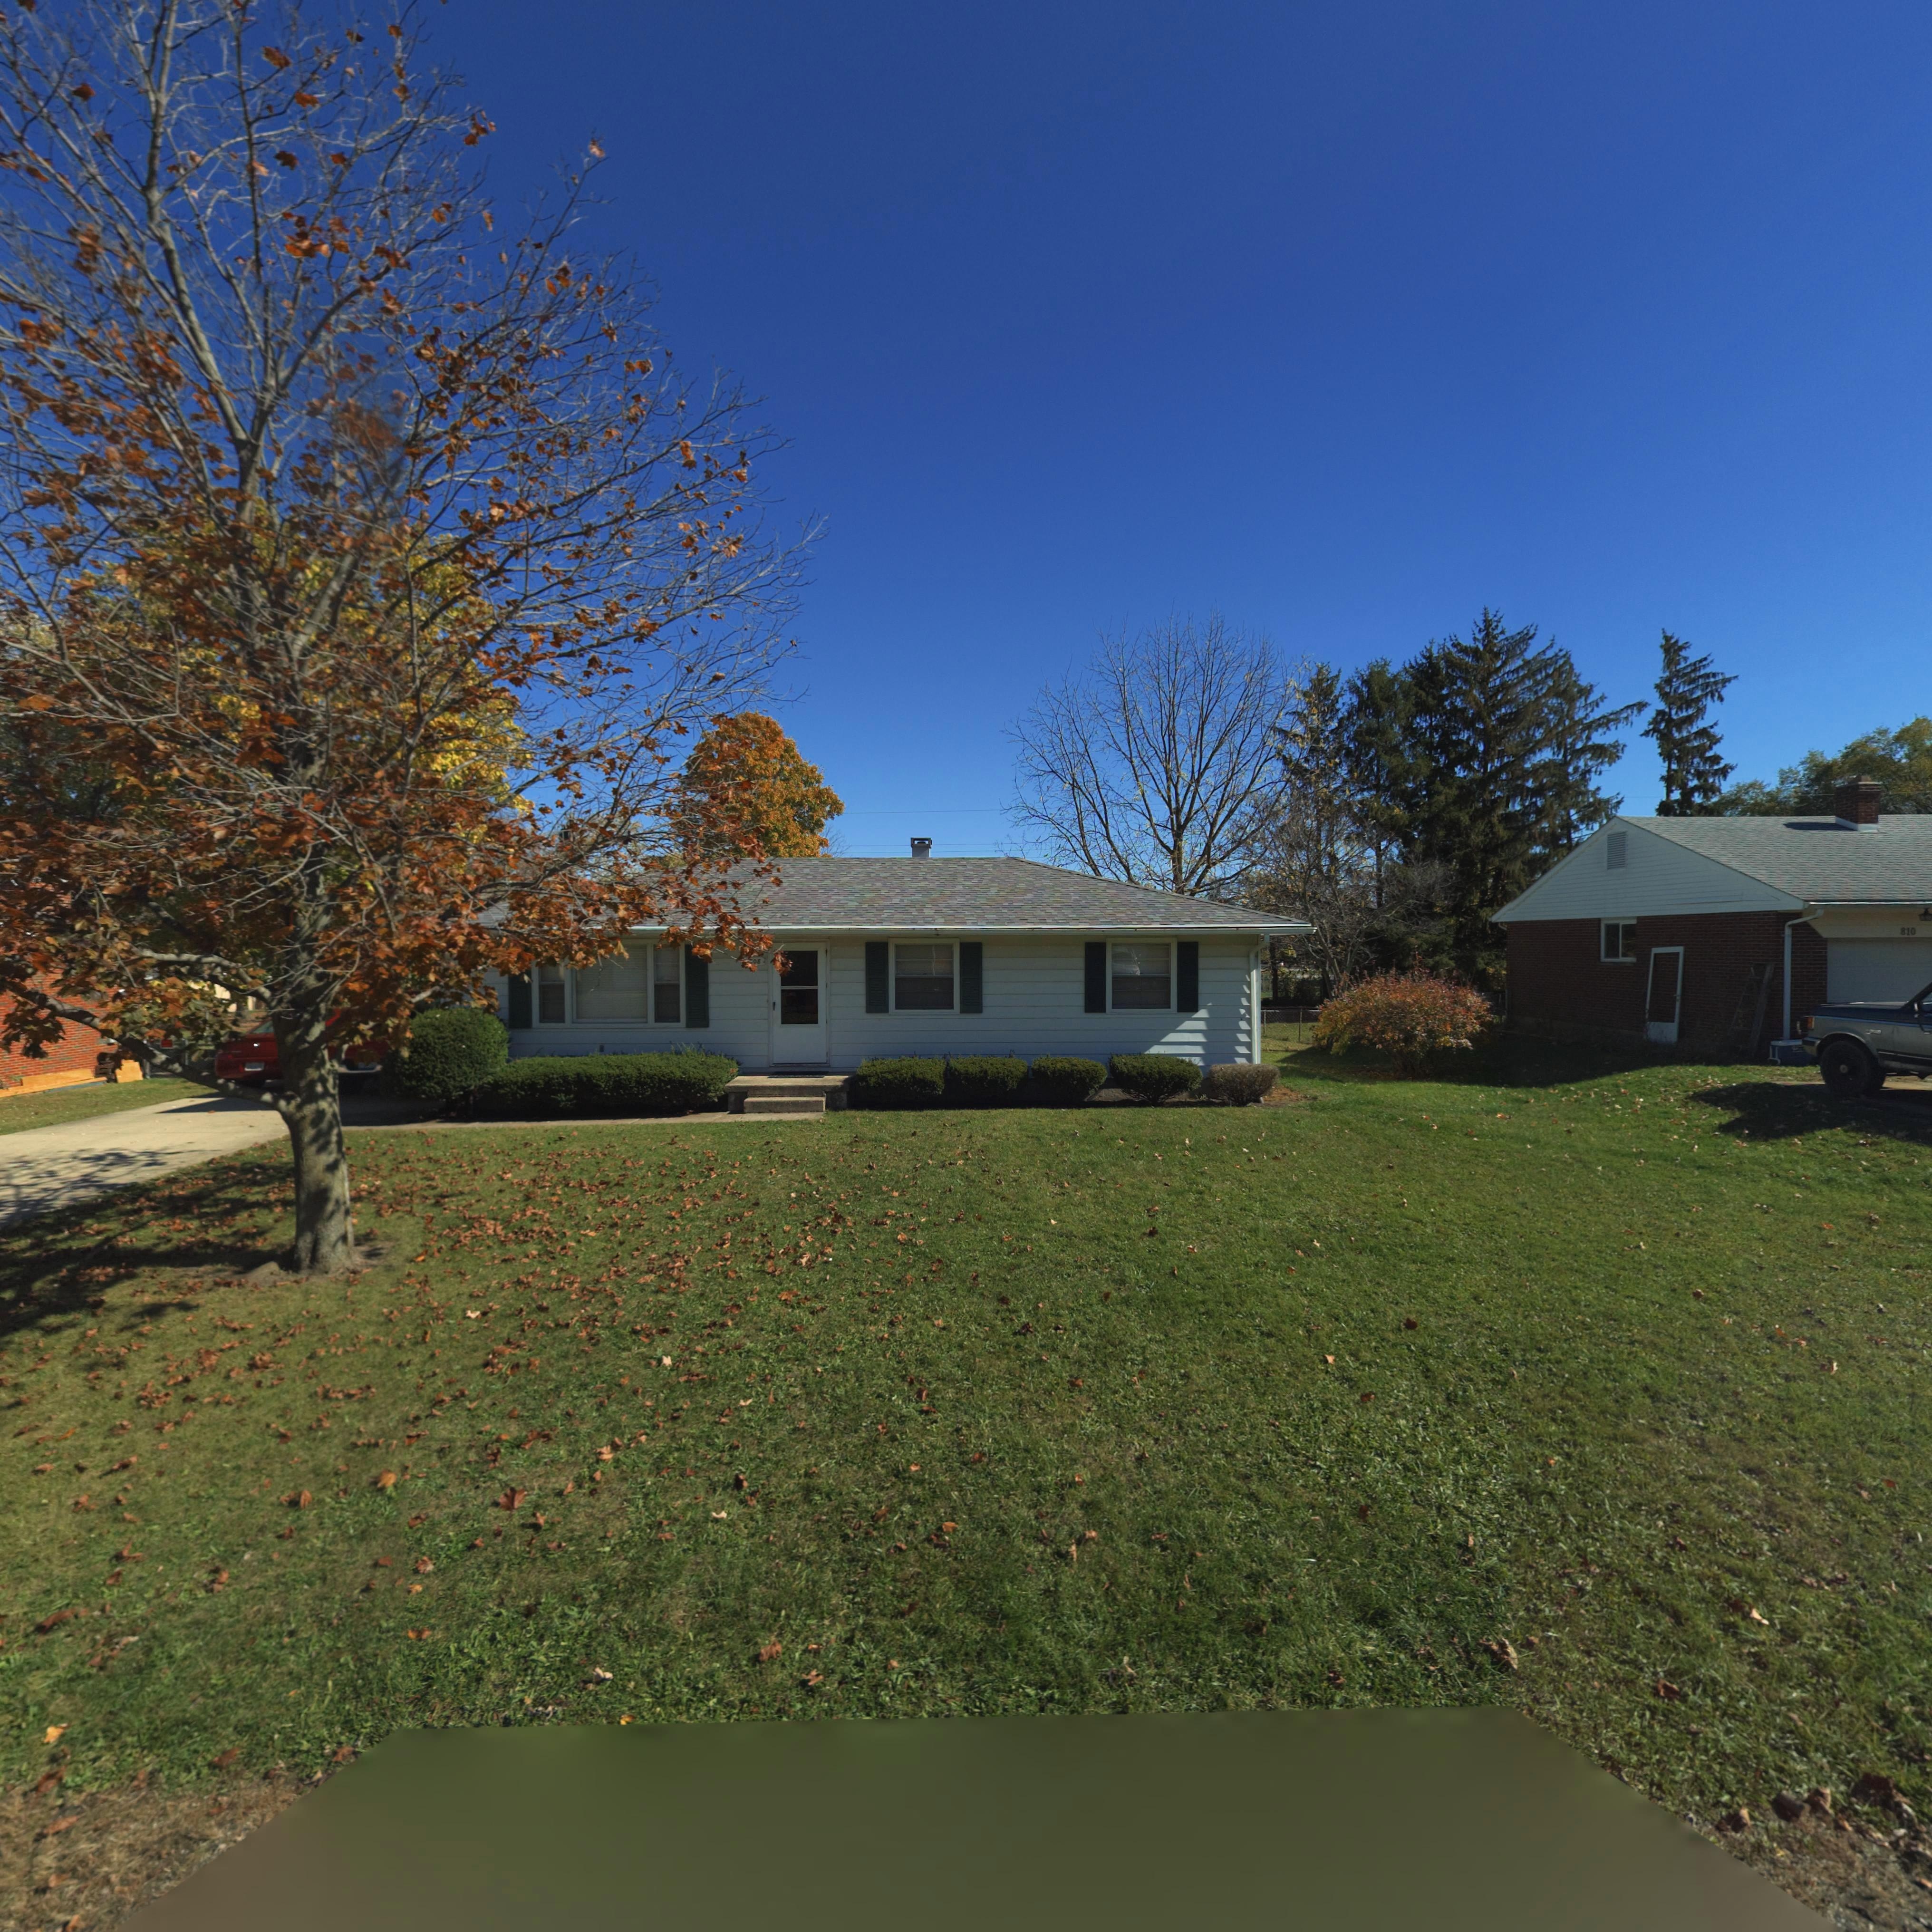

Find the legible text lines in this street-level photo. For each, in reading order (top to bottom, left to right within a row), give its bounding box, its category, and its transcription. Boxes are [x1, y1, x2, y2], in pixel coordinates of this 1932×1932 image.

[1900, 926, 1917, 937] StreetNumber: 810
[753, 958, 762, 965] StreetNumber: 08